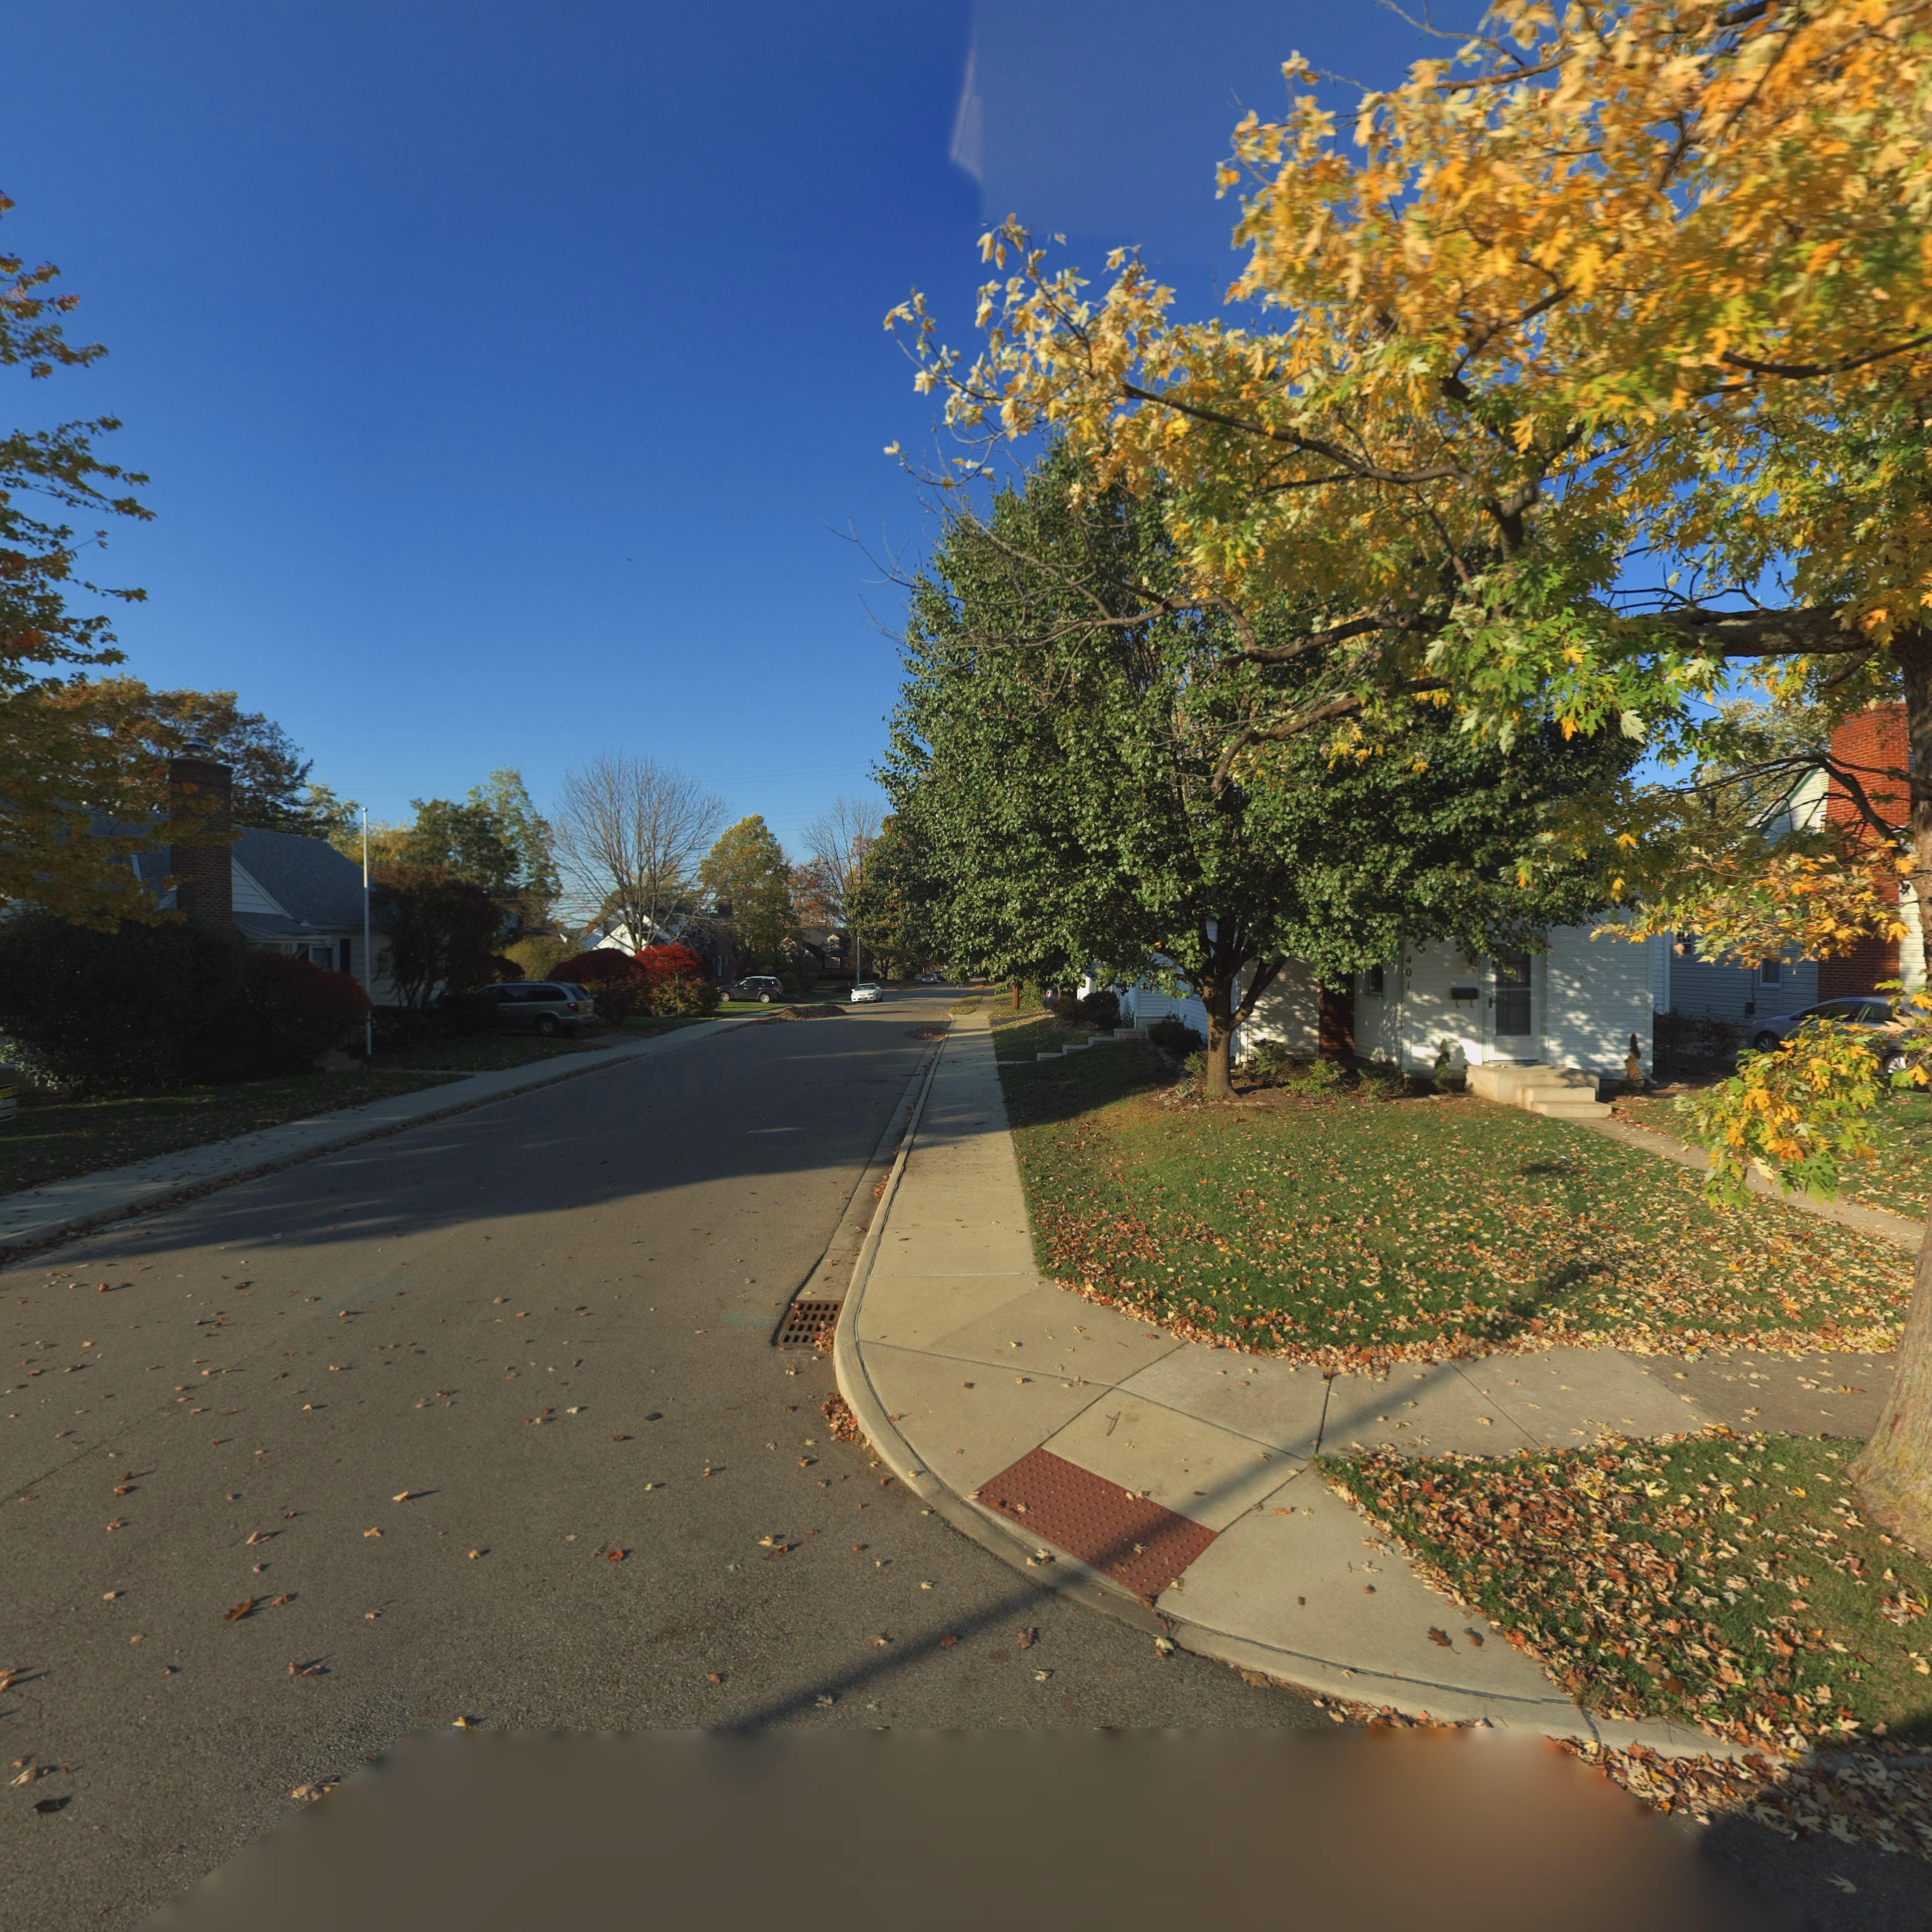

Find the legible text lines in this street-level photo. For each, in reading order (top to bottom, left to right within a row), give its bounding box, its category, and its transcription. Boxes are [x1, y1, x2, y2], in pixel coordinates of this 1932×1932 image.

[1405, 954, 1412, 990] StreetNumber: 401